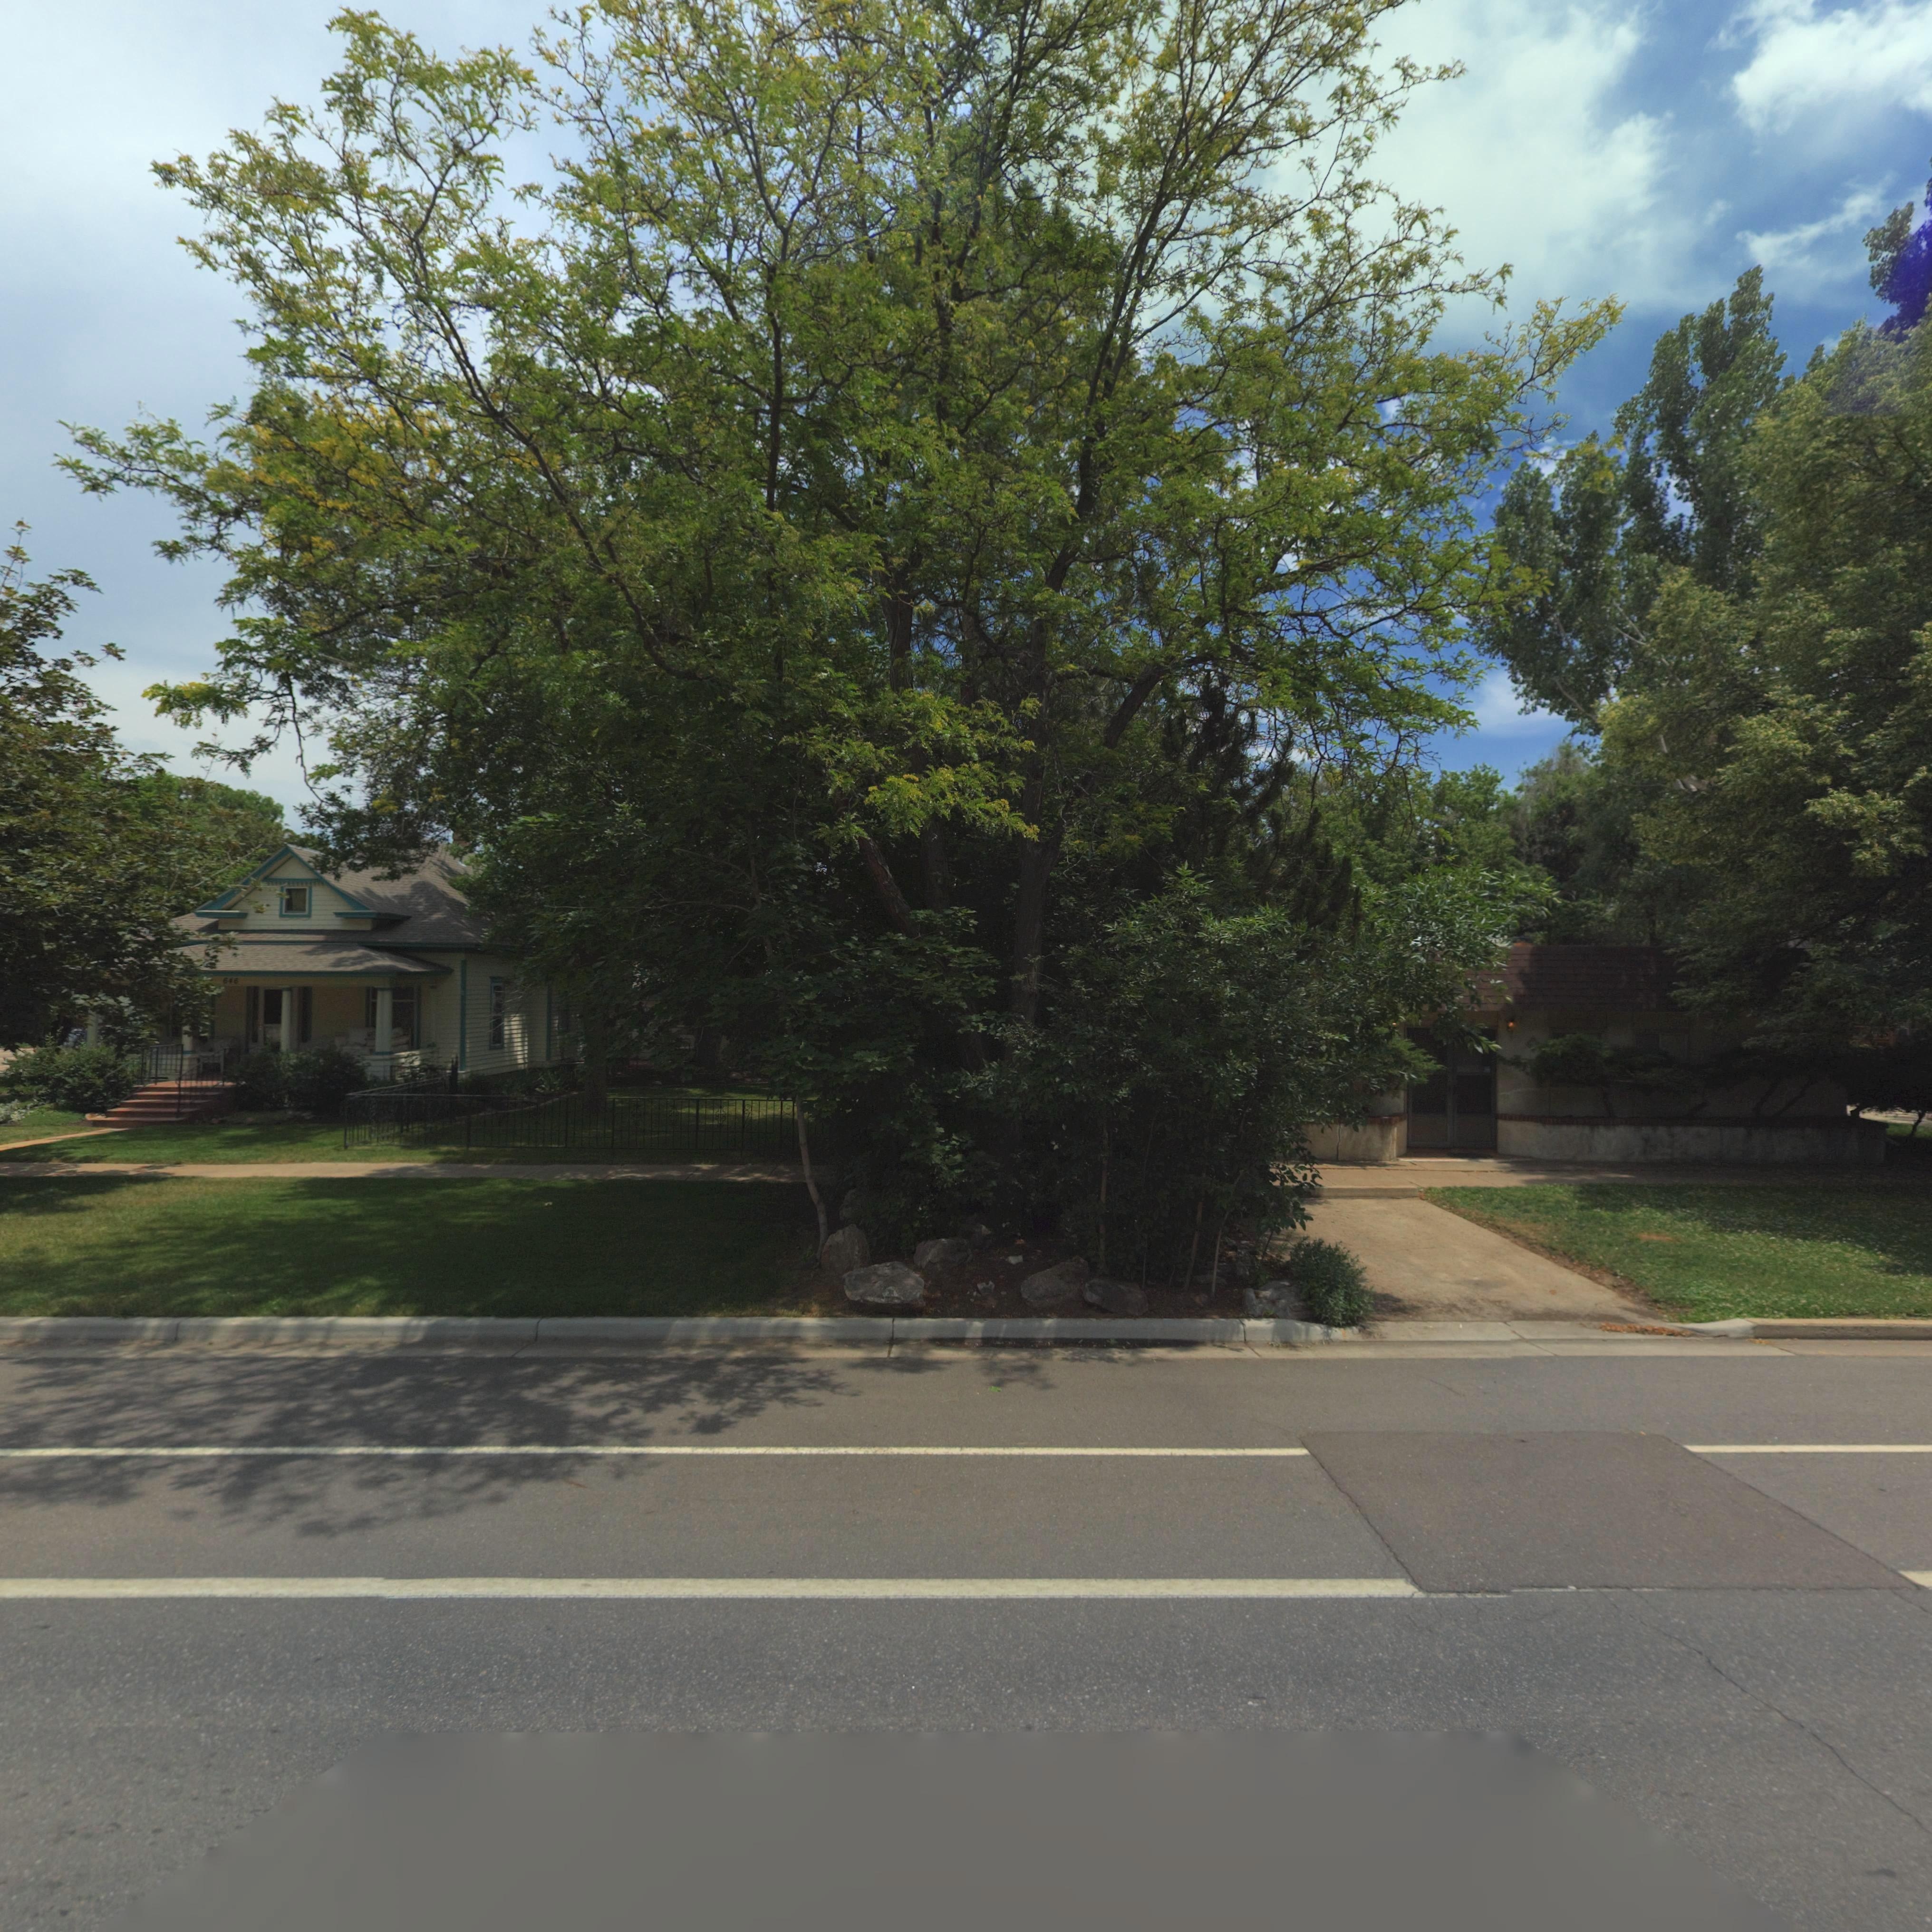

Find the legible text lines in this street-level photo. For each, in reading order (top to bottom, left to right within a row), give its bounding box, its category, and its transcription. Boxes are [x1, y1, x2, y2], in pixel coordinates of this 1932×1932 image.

[223, 977, 239, 985] StreetNumber: 646